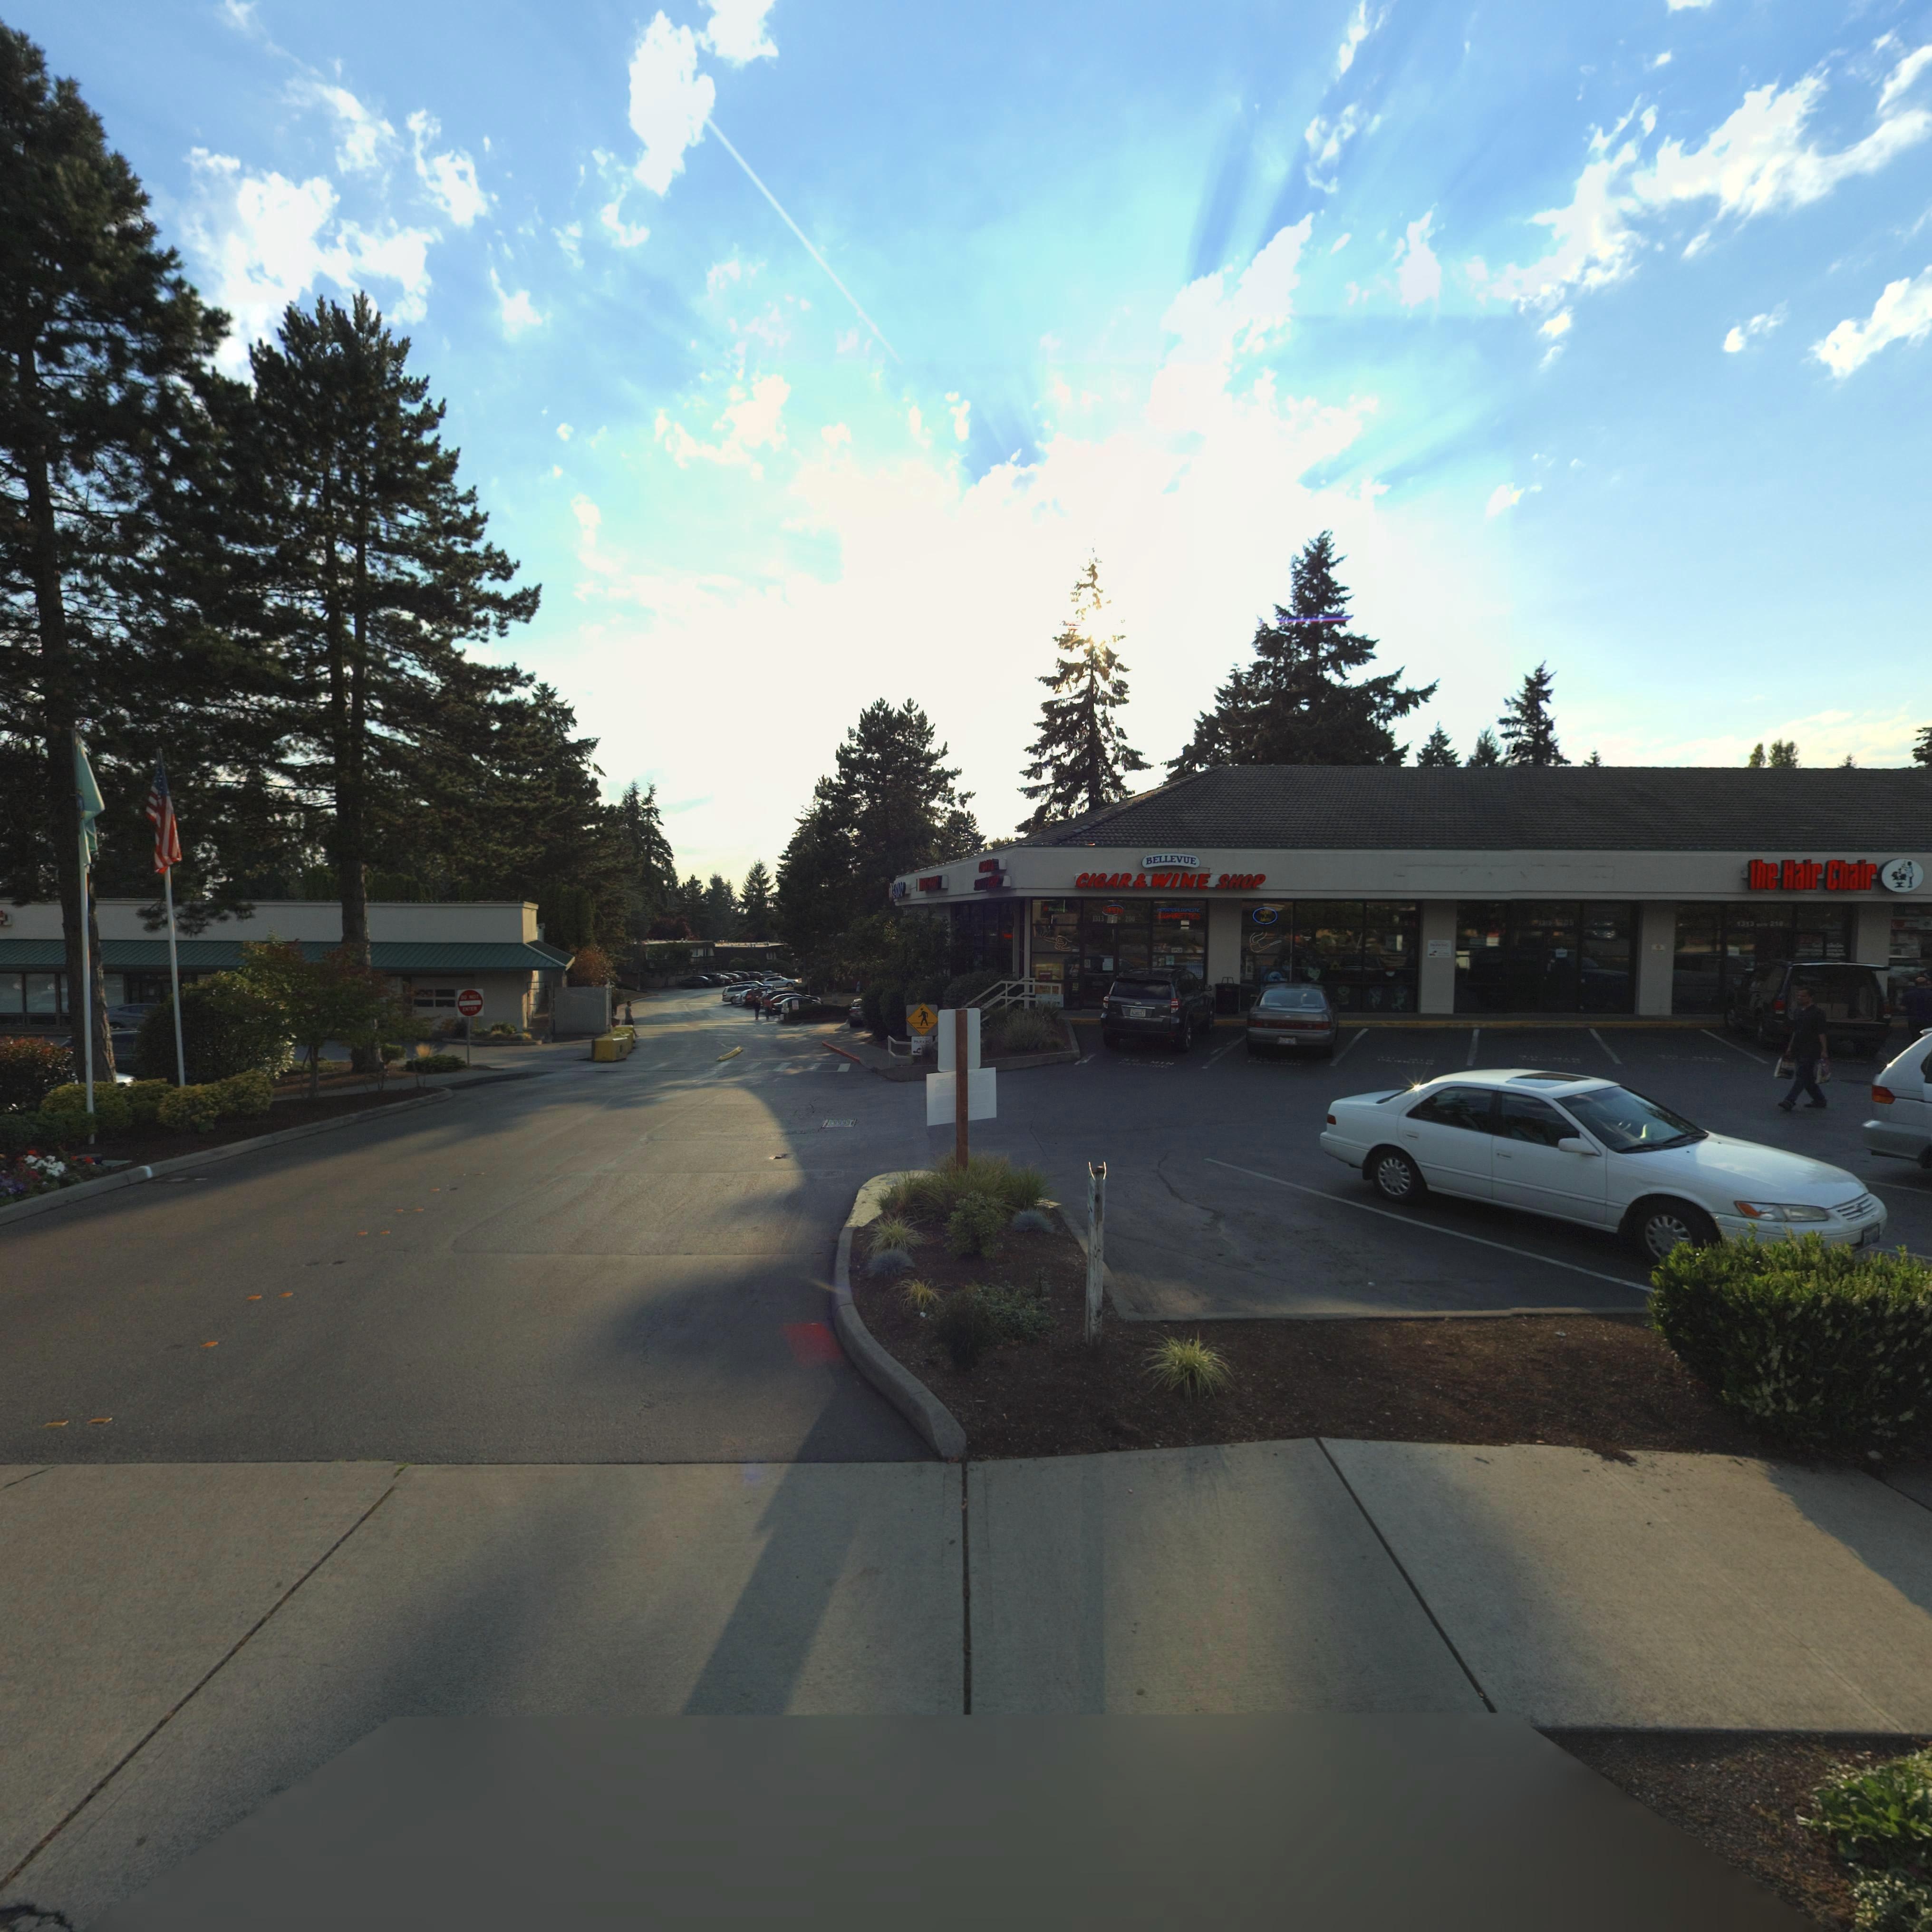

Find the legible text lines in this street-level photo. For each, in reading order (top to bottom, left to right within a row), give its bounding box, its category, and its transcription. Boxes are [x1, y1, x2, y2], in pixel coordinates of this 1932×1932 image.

[1145, 854, 1197, 865] BusinessName: BELLEVUE
[1073, 871, 1267, 889] BusinessName: CIGAR*WINE SHOP
[1748, 858, 1878, 891] BusinessName: the Hair Chair
[1092, 915, 1105, 922] StreetNumber: 1313